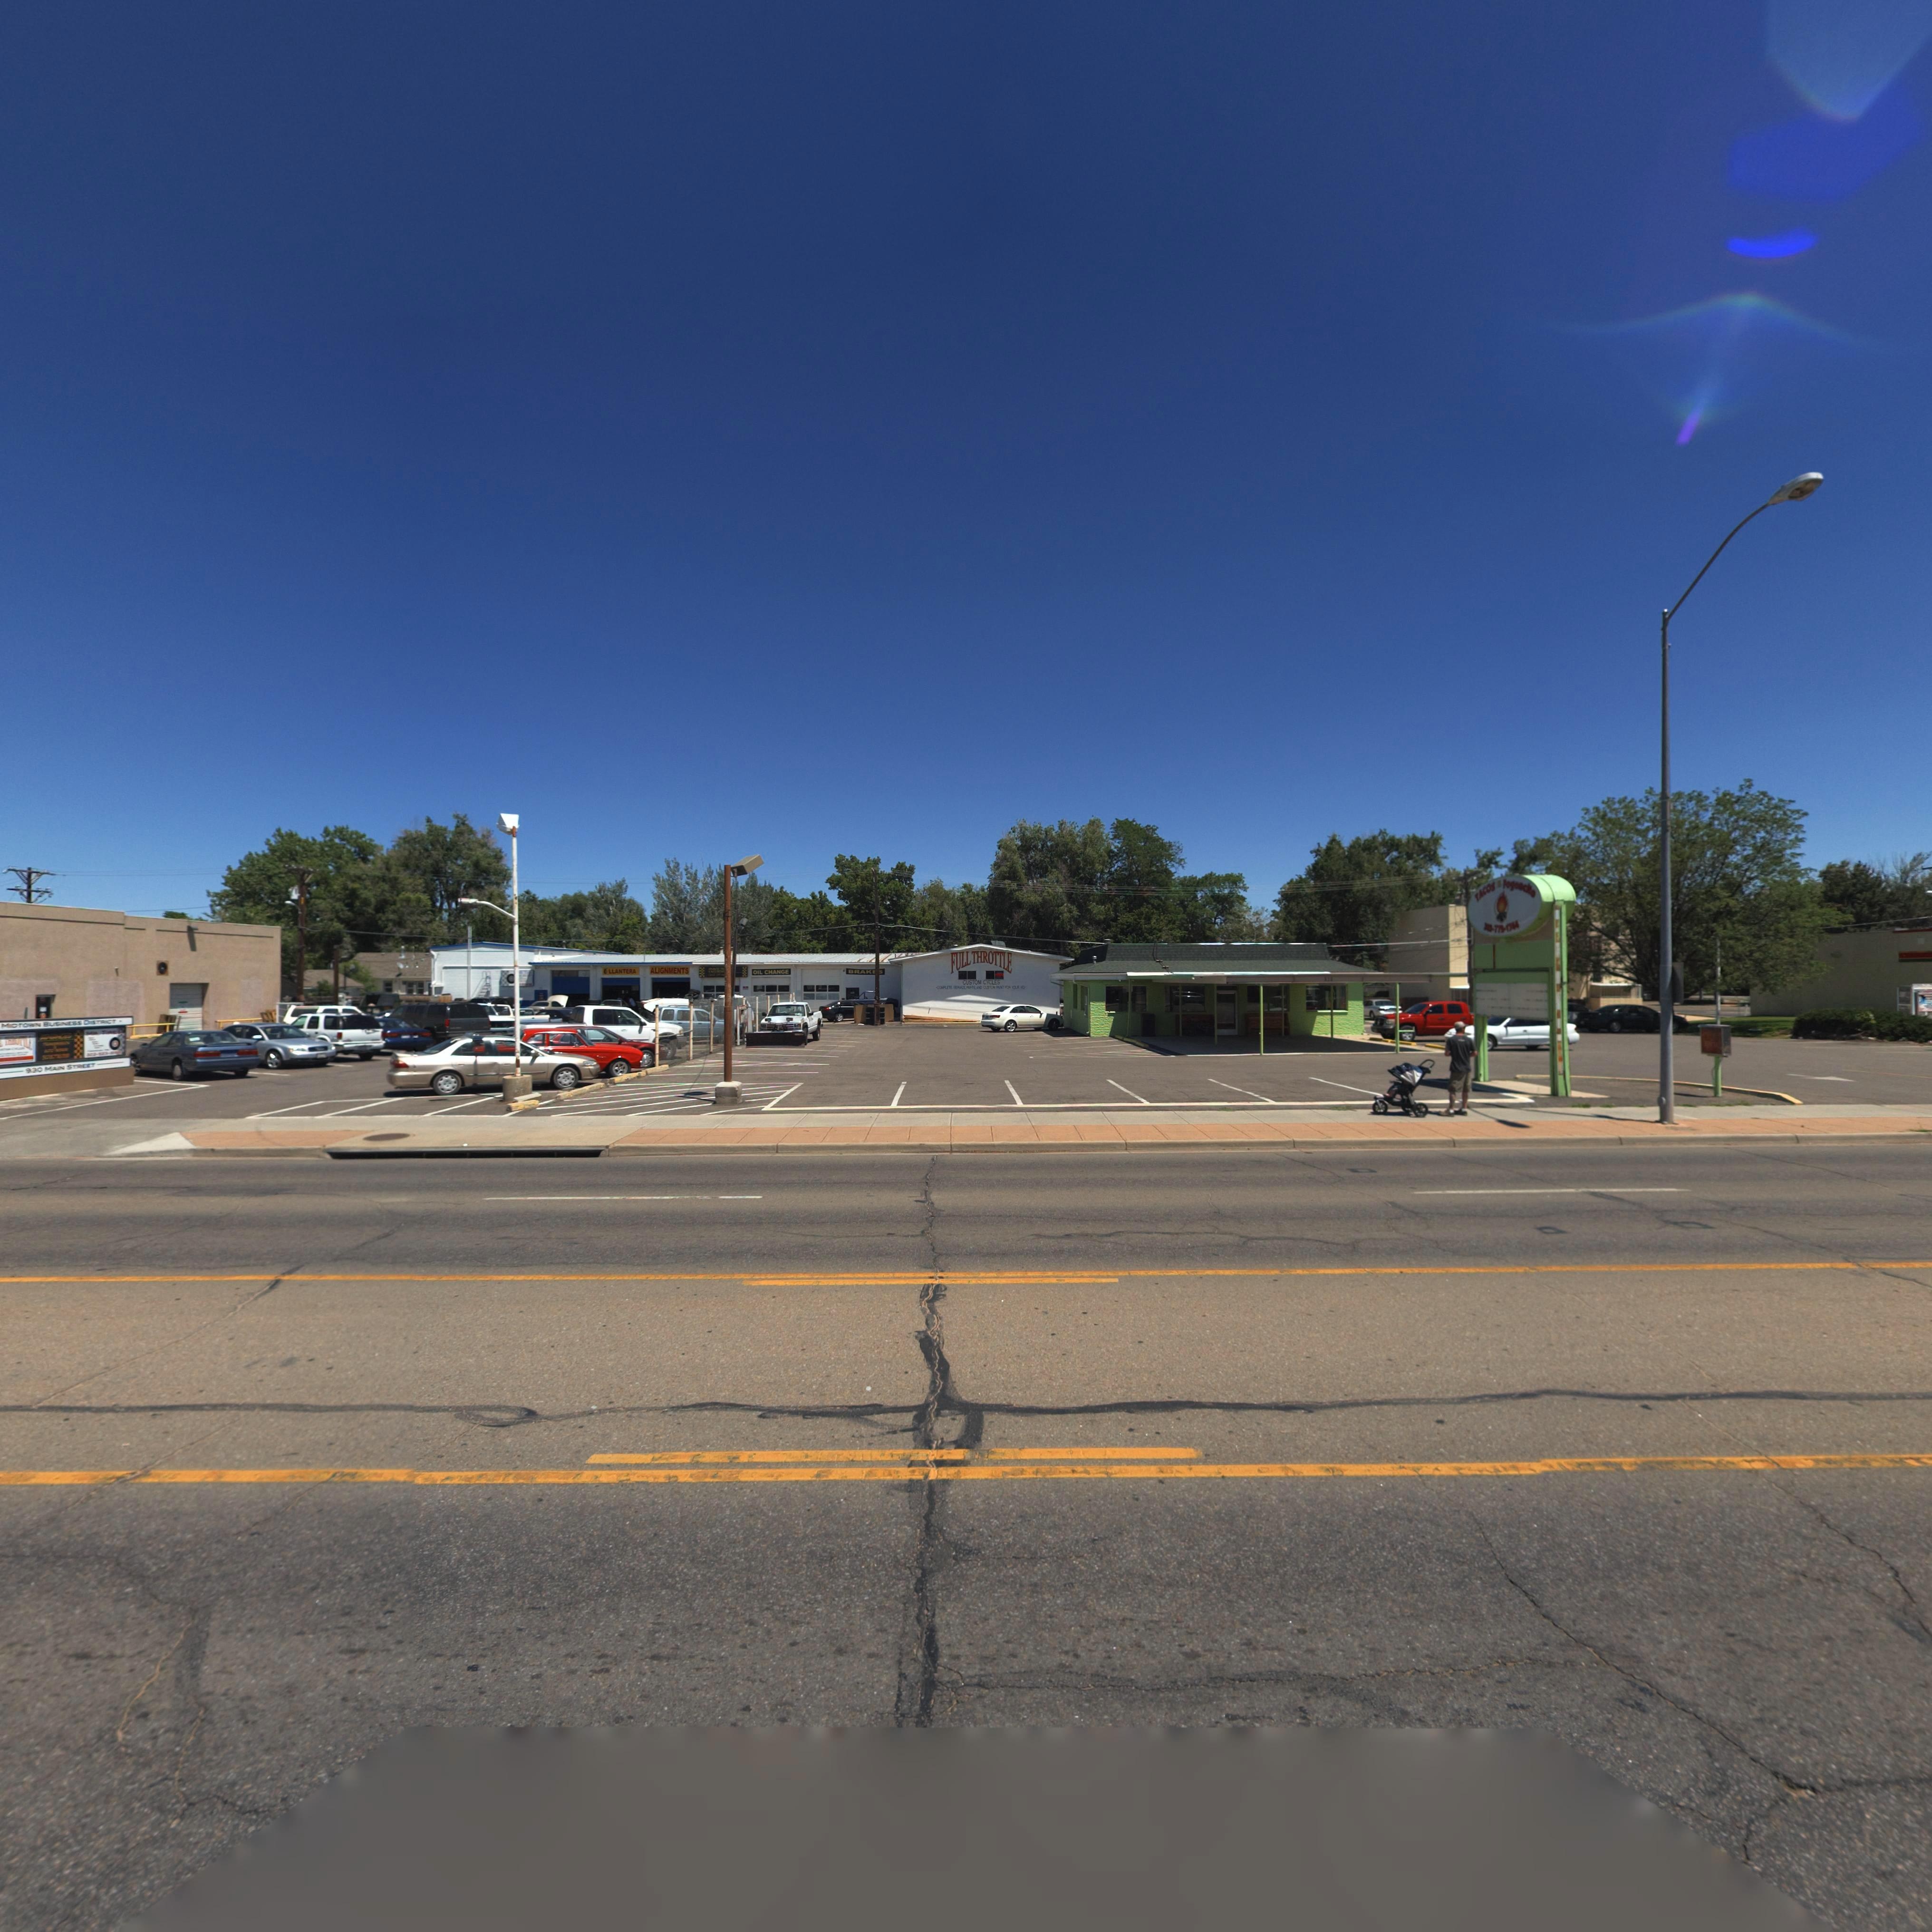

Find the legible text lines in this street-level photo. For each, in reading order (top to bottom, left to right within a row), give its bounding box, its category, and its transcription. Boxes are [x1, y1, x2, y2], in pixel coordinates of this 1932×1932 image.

[1474, 878, 1536, 904] BusinessName: TACOS ** Fogo*ck*
[950, 950, 1012, 974] BusinessName: FULL THROTTLE
[1, 1019, 116, 1029] BusinessName: M*CTO*N BU**NESS **STRICT
[85, 1029, 122, 1035] BusinessName: MR T***S
[4, 1035, 33, 1050] BusinessName: TH***TTLE
[25, 1066, 43, 1074] StreetNumber: 930
[44, 1063, 96, 1072] StreetName: MAIN STREET